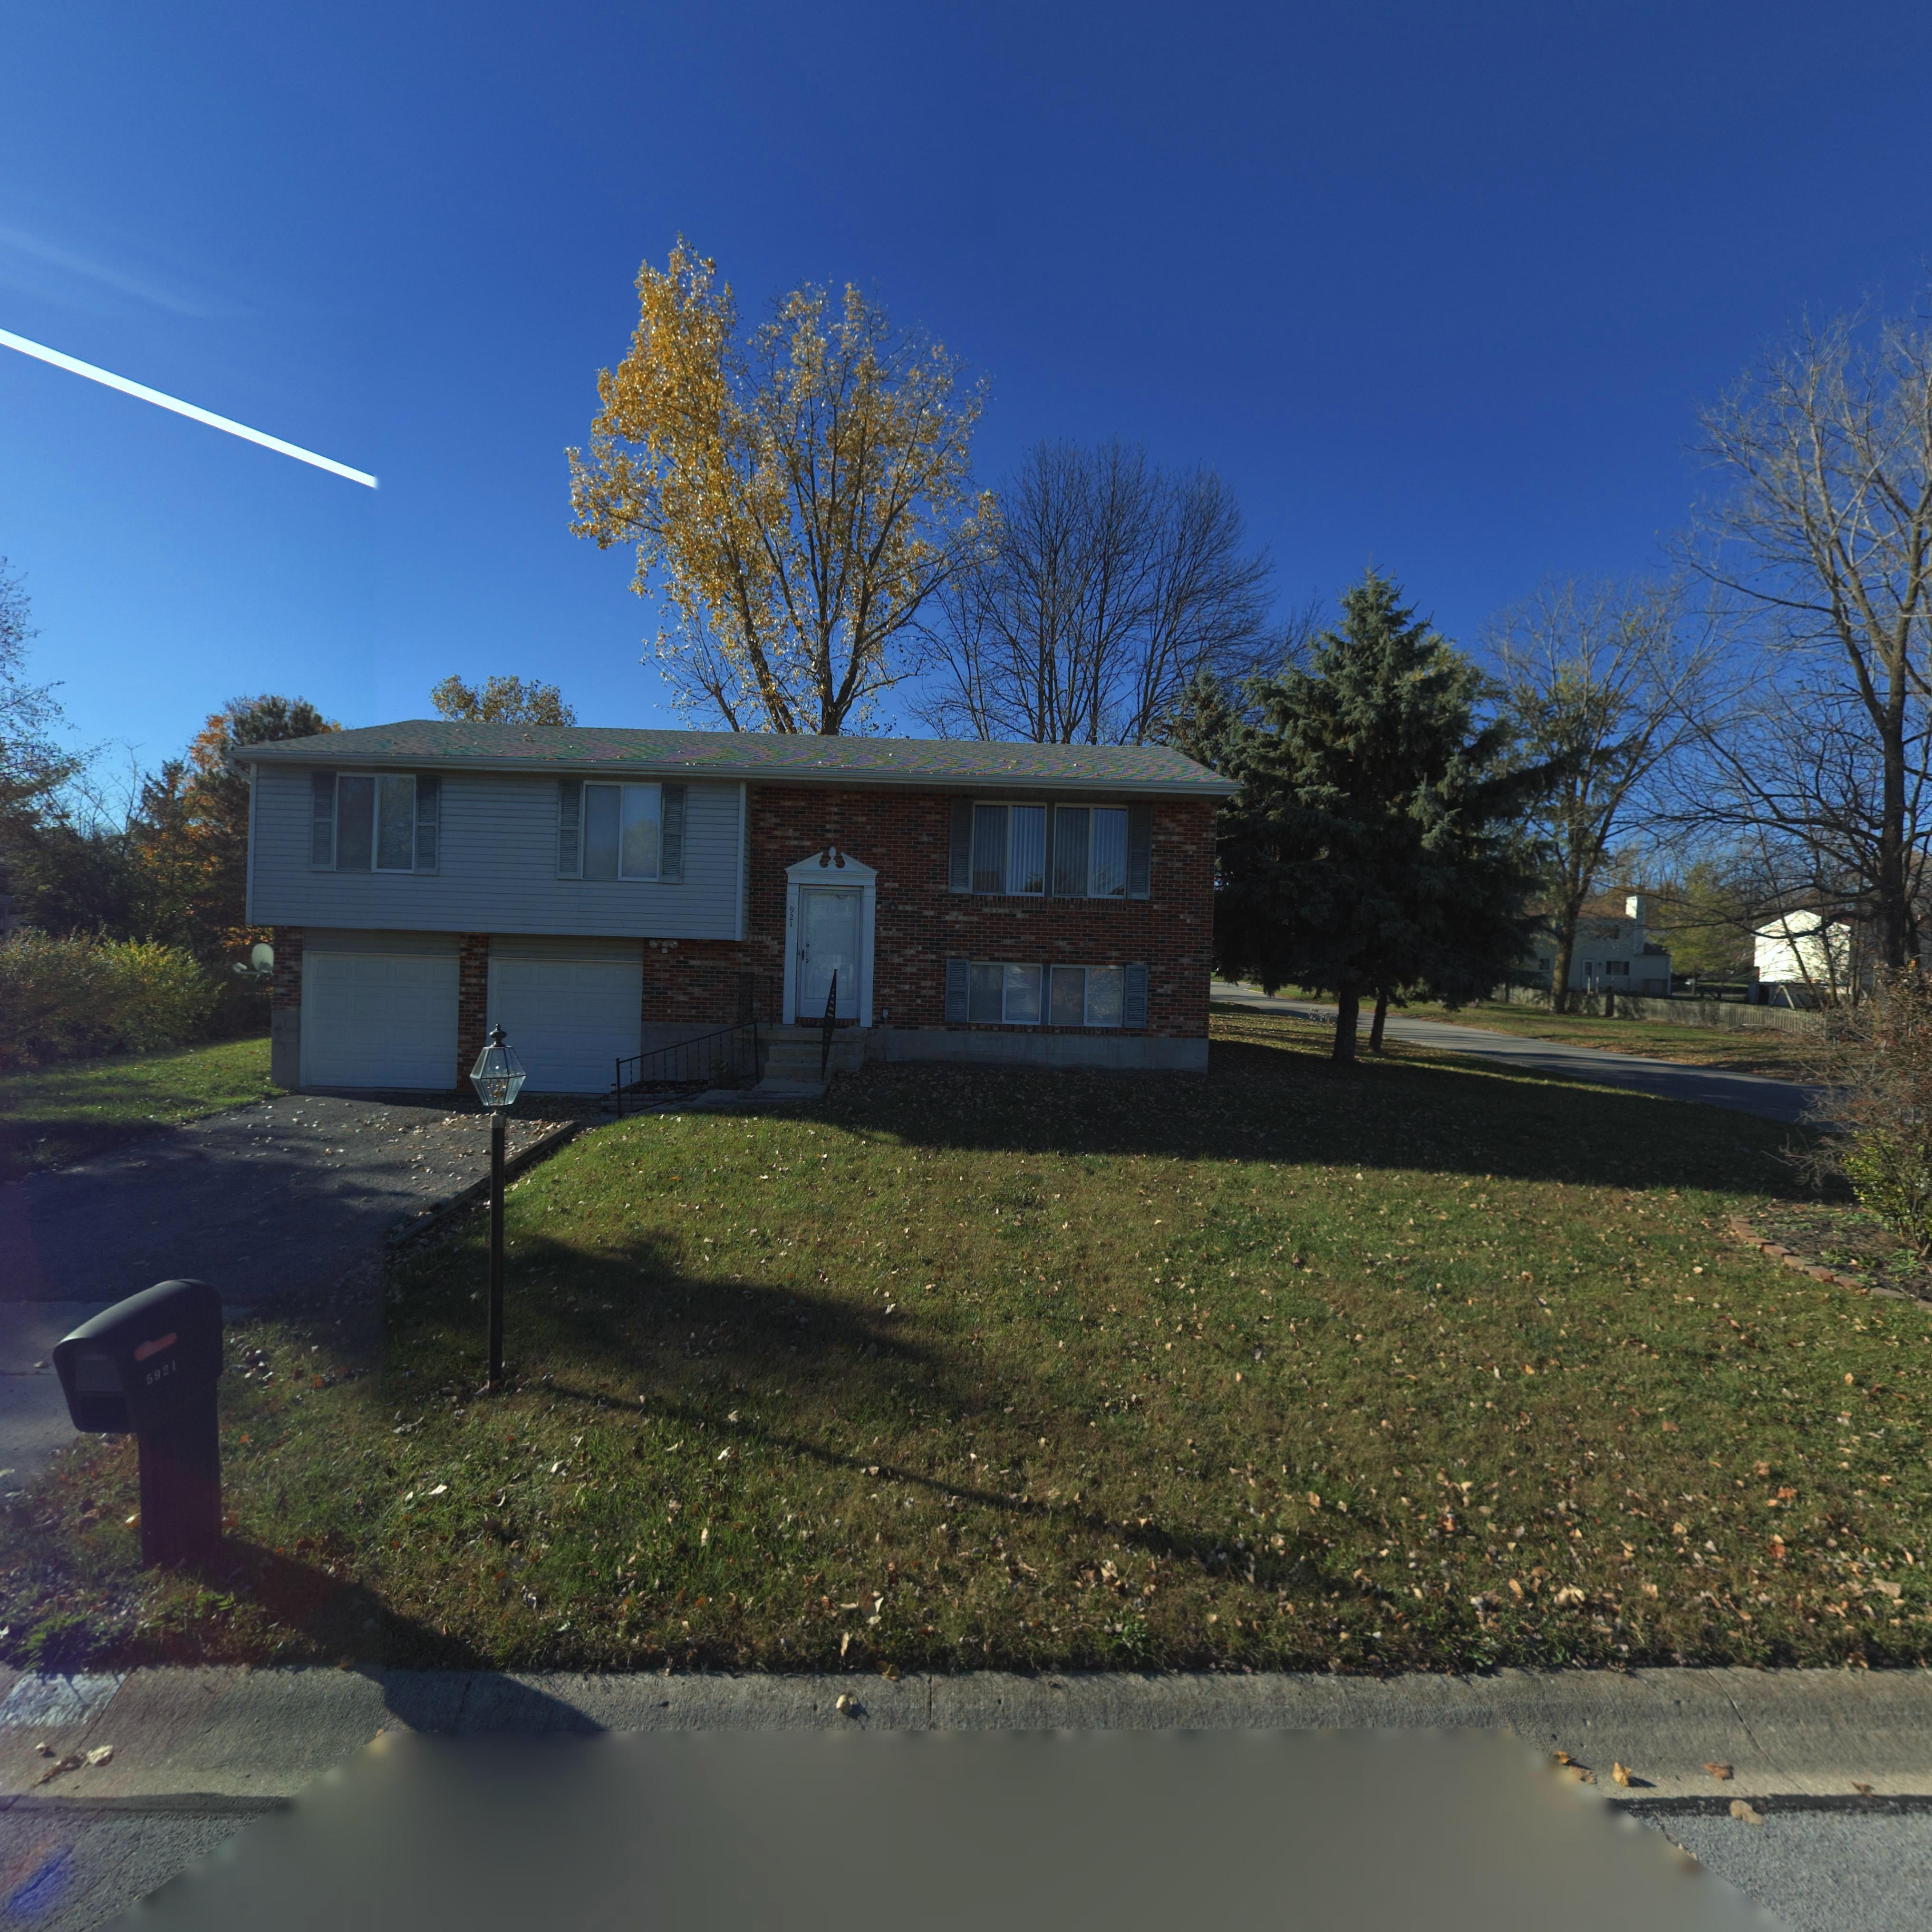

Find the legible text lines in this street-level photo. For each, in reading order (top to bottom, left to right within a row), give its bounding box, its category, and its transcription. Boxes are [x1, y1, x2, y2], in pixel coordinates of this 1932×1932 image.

[788, 899, 795, 928] StreetNumber: 5921
[145, 1358, 177, 1386] StreetNumber: 5921